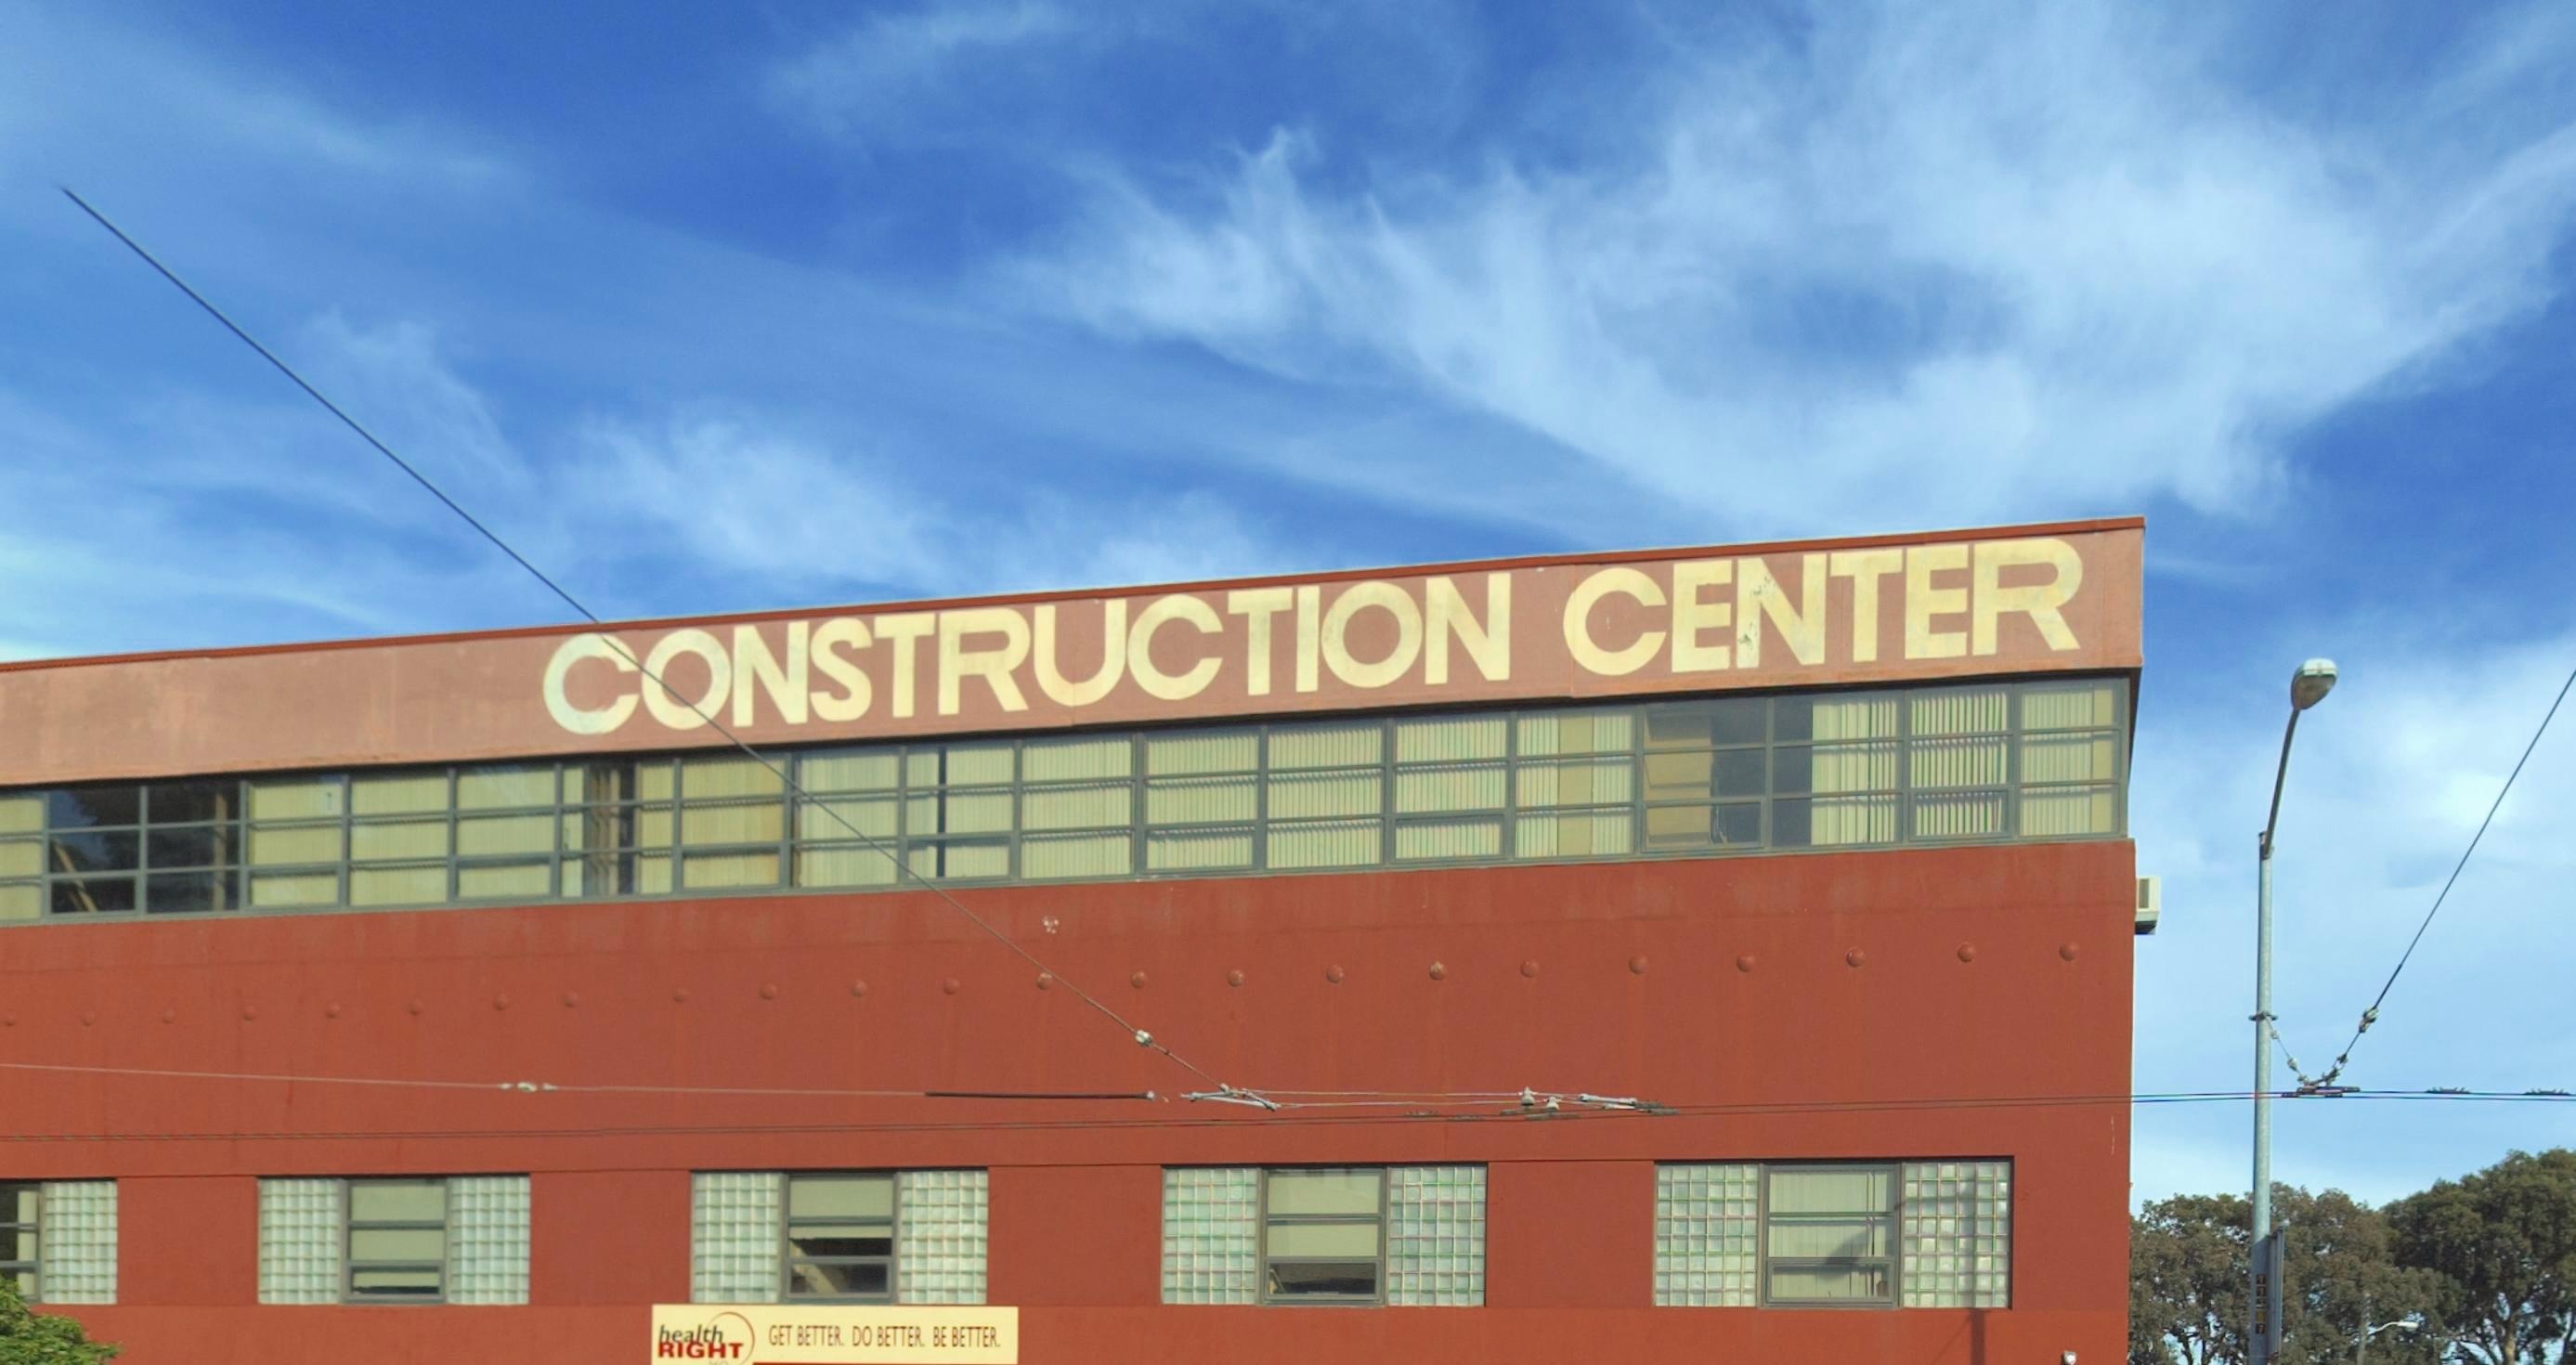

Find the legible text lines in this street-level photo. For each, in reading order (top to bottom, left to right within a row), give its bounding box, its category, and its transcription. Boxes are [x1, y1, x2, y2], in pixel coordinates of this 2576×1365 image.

[534, 526, 2091, 746] BusinessName: CONSTRUCTION CENTER
[656, 1320, 727, 1345] None: health
[654, 1340, 748, 1361] None: RIGHT
[765, 1320, 1005, 1351] None: GET BETTER. DO BETTER. BE BETTER.